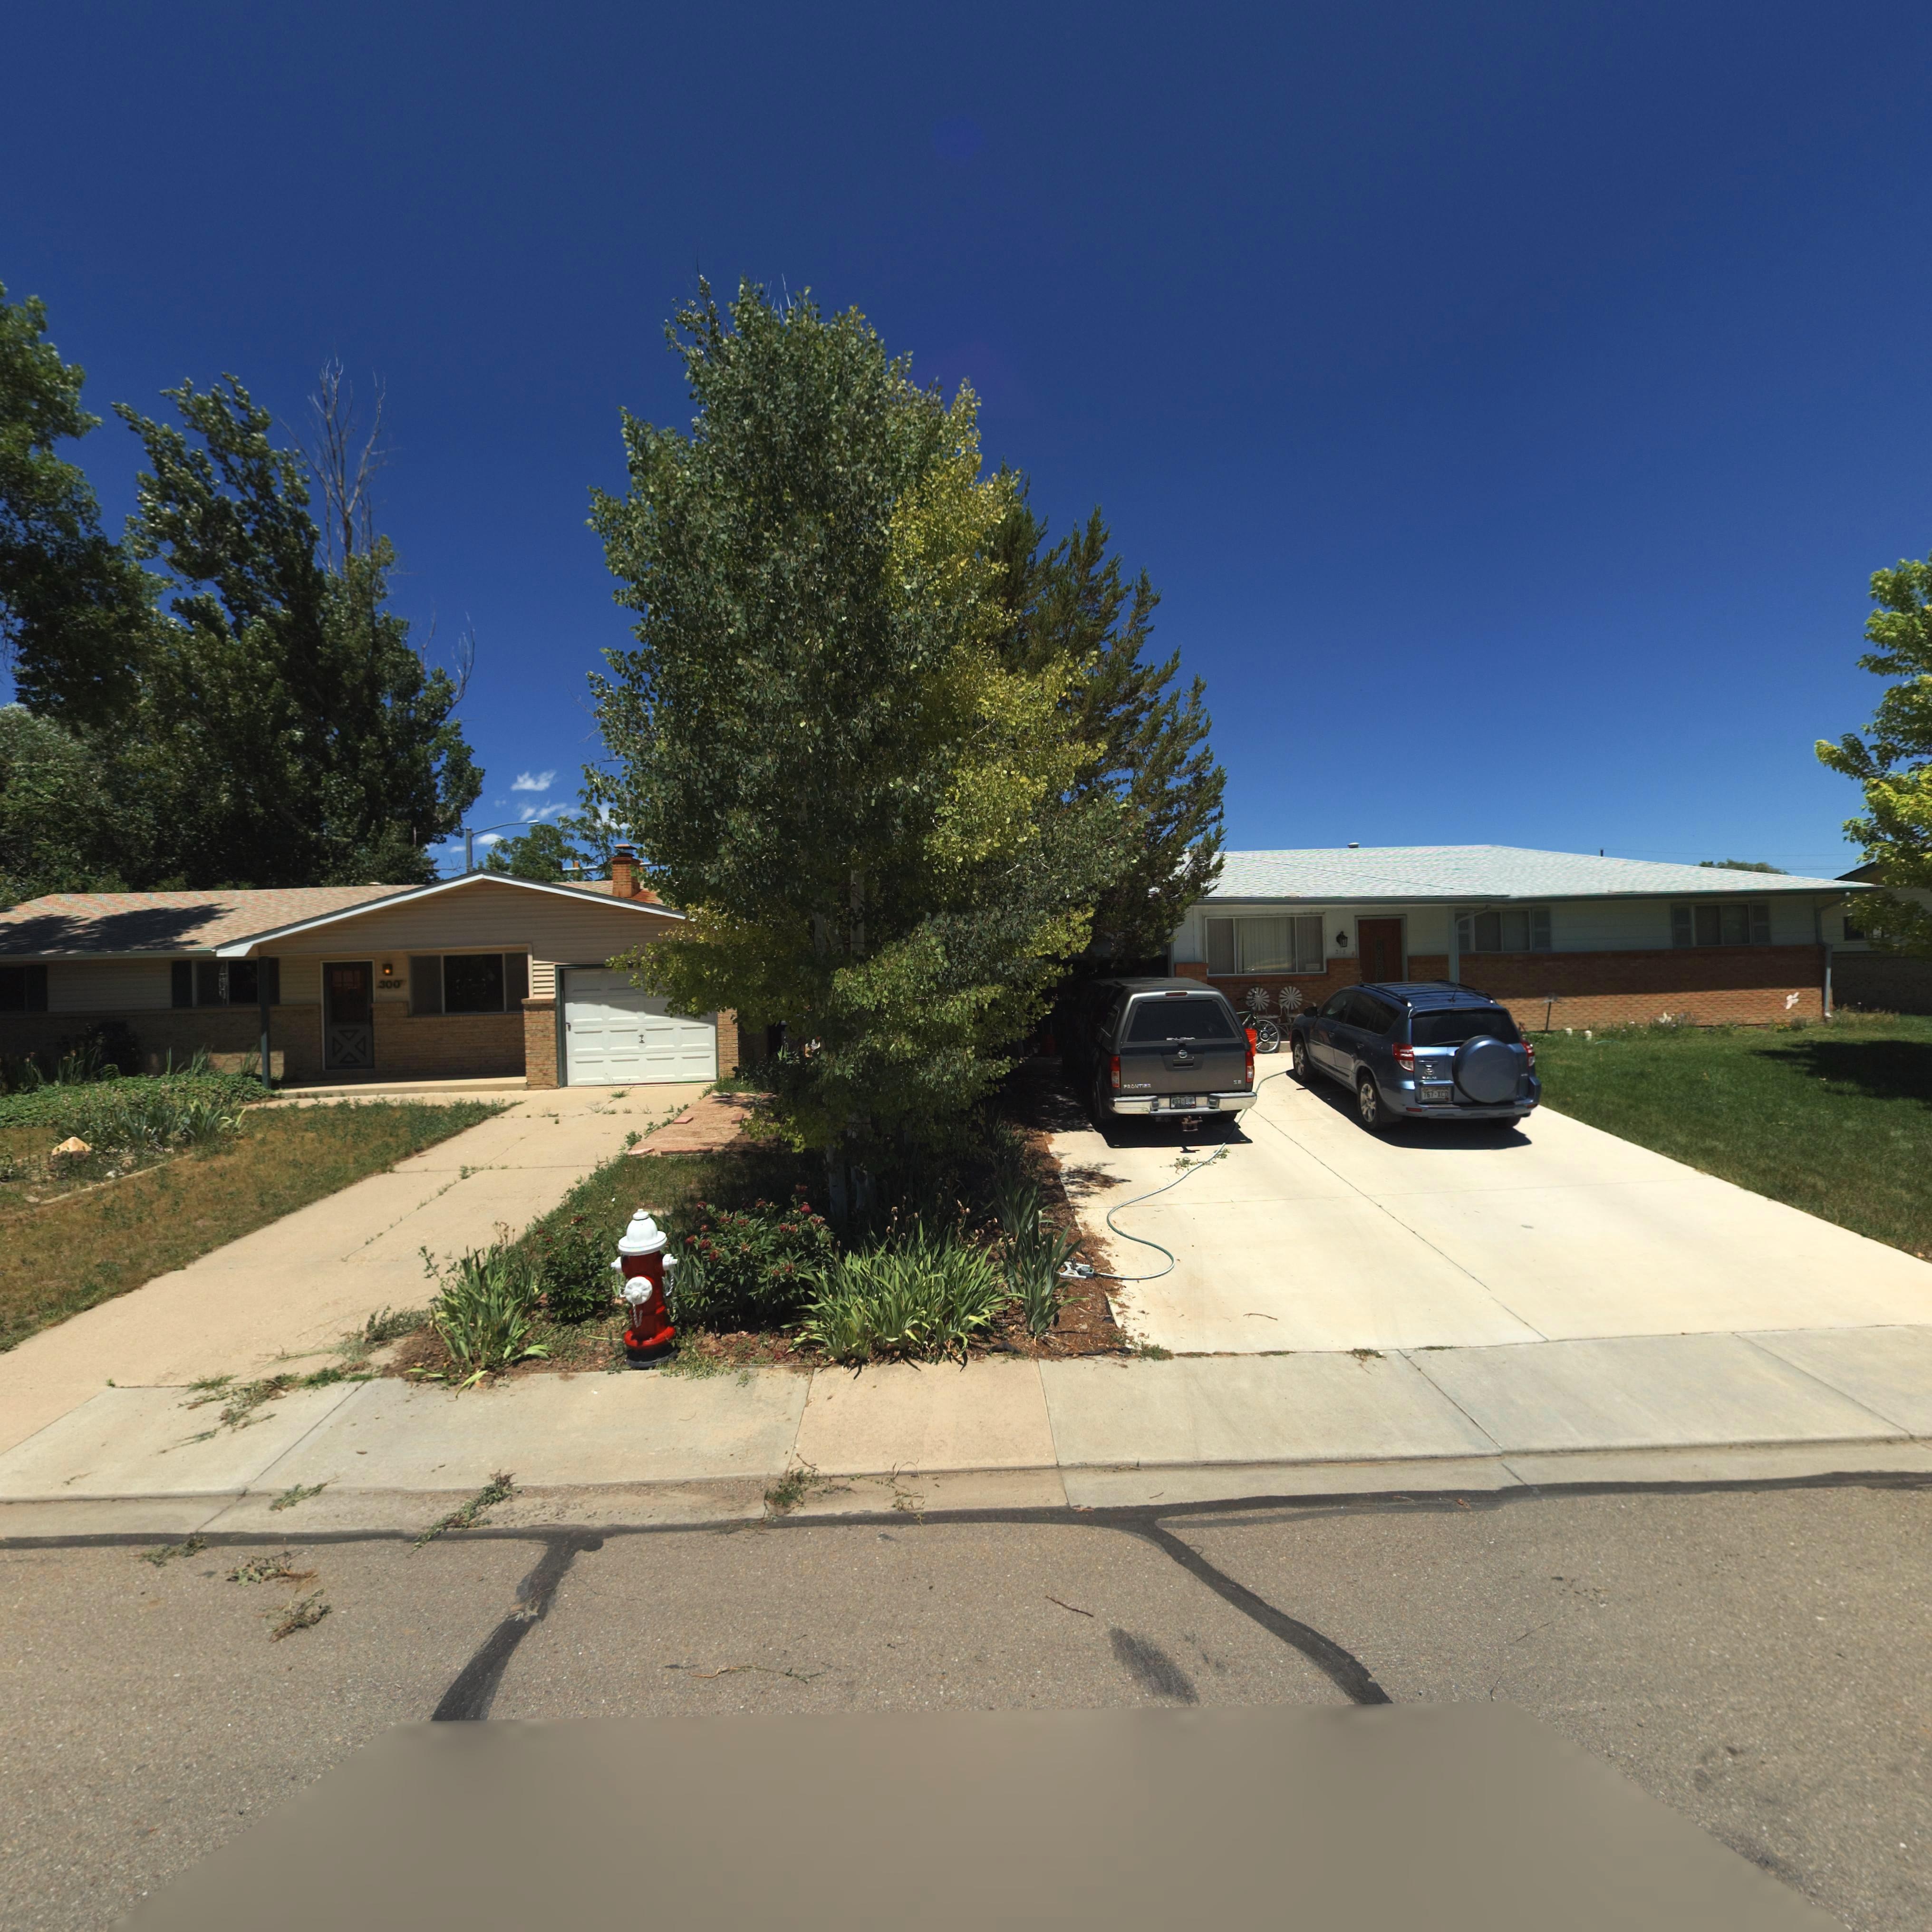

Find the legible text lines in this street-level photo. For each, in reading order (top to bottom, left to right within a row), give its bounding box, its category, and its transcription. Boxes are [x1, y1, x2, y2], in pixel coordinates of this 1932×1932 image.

[1335, 949, 1346, 955] StreetNumber: 218
[379, 980, 400, 989] StreetNumber: 300